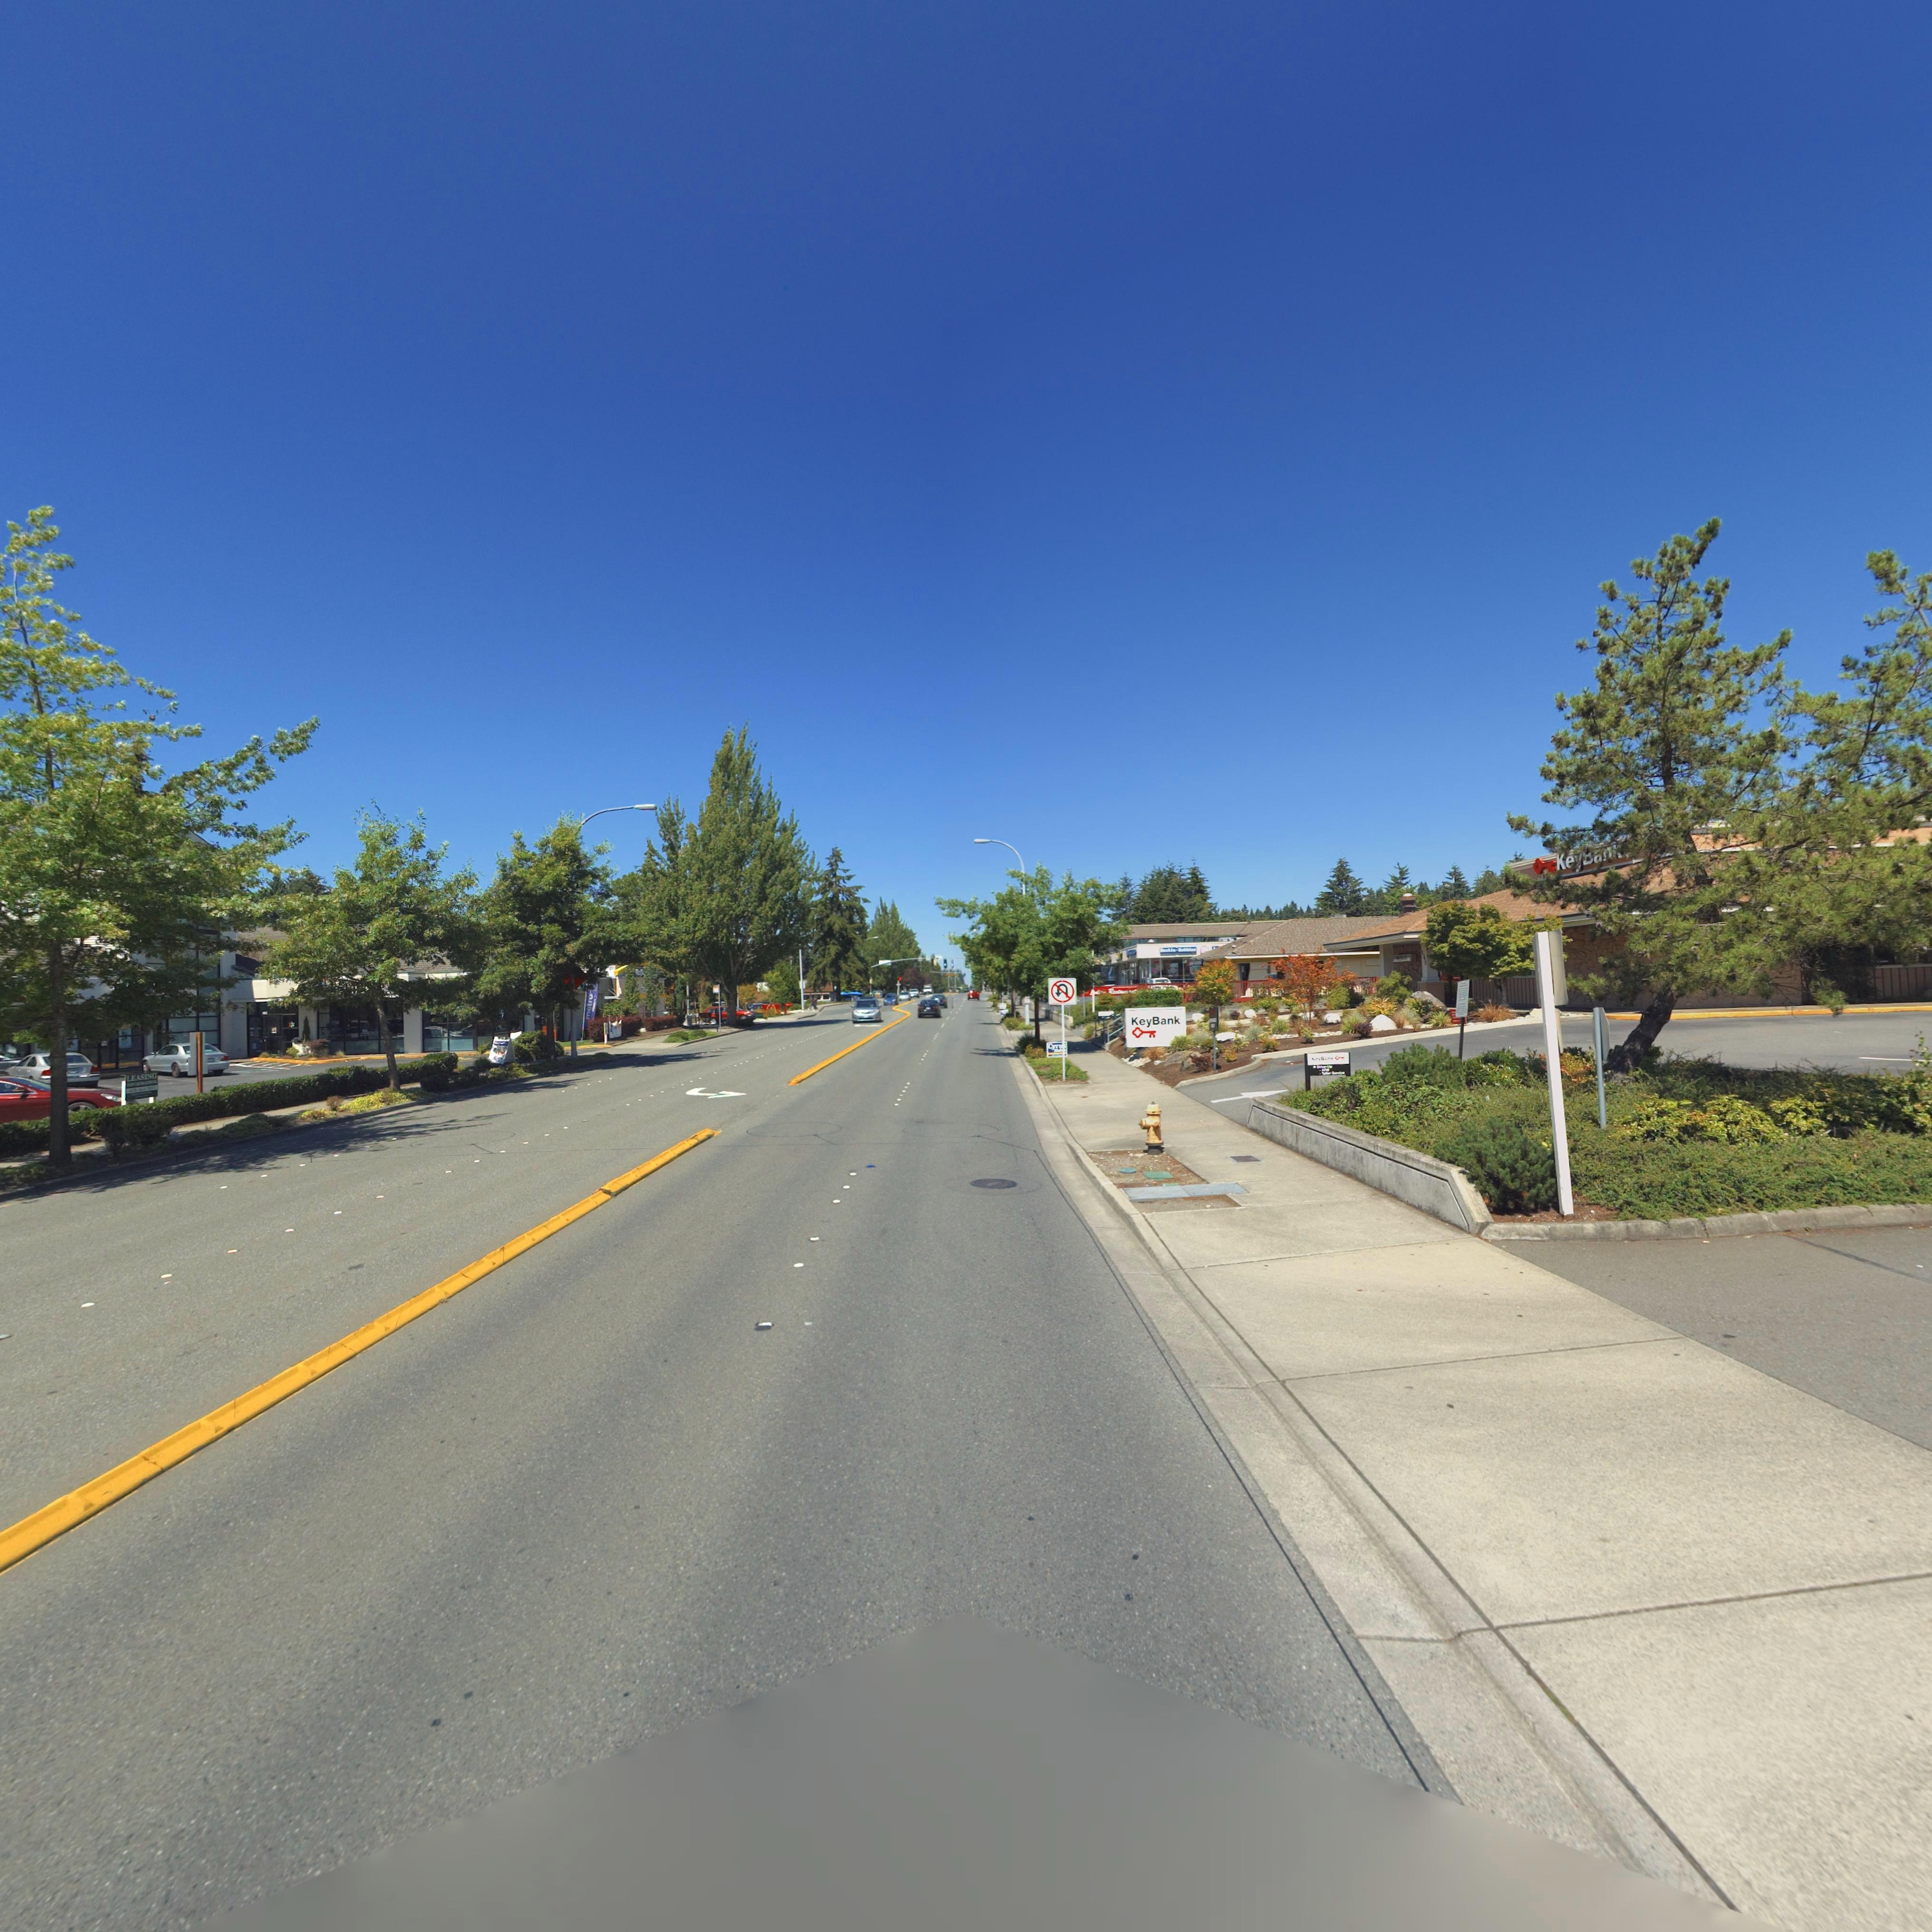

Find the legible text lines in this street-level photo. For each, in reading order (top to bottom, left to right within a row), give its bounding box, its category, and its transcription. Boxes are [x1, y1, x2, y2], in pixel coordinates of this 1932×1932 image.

[1556, 852, 1583, 873] BusinessName: Key
[1130, 1015, 1180, 1027] BusinessName: KeyBank